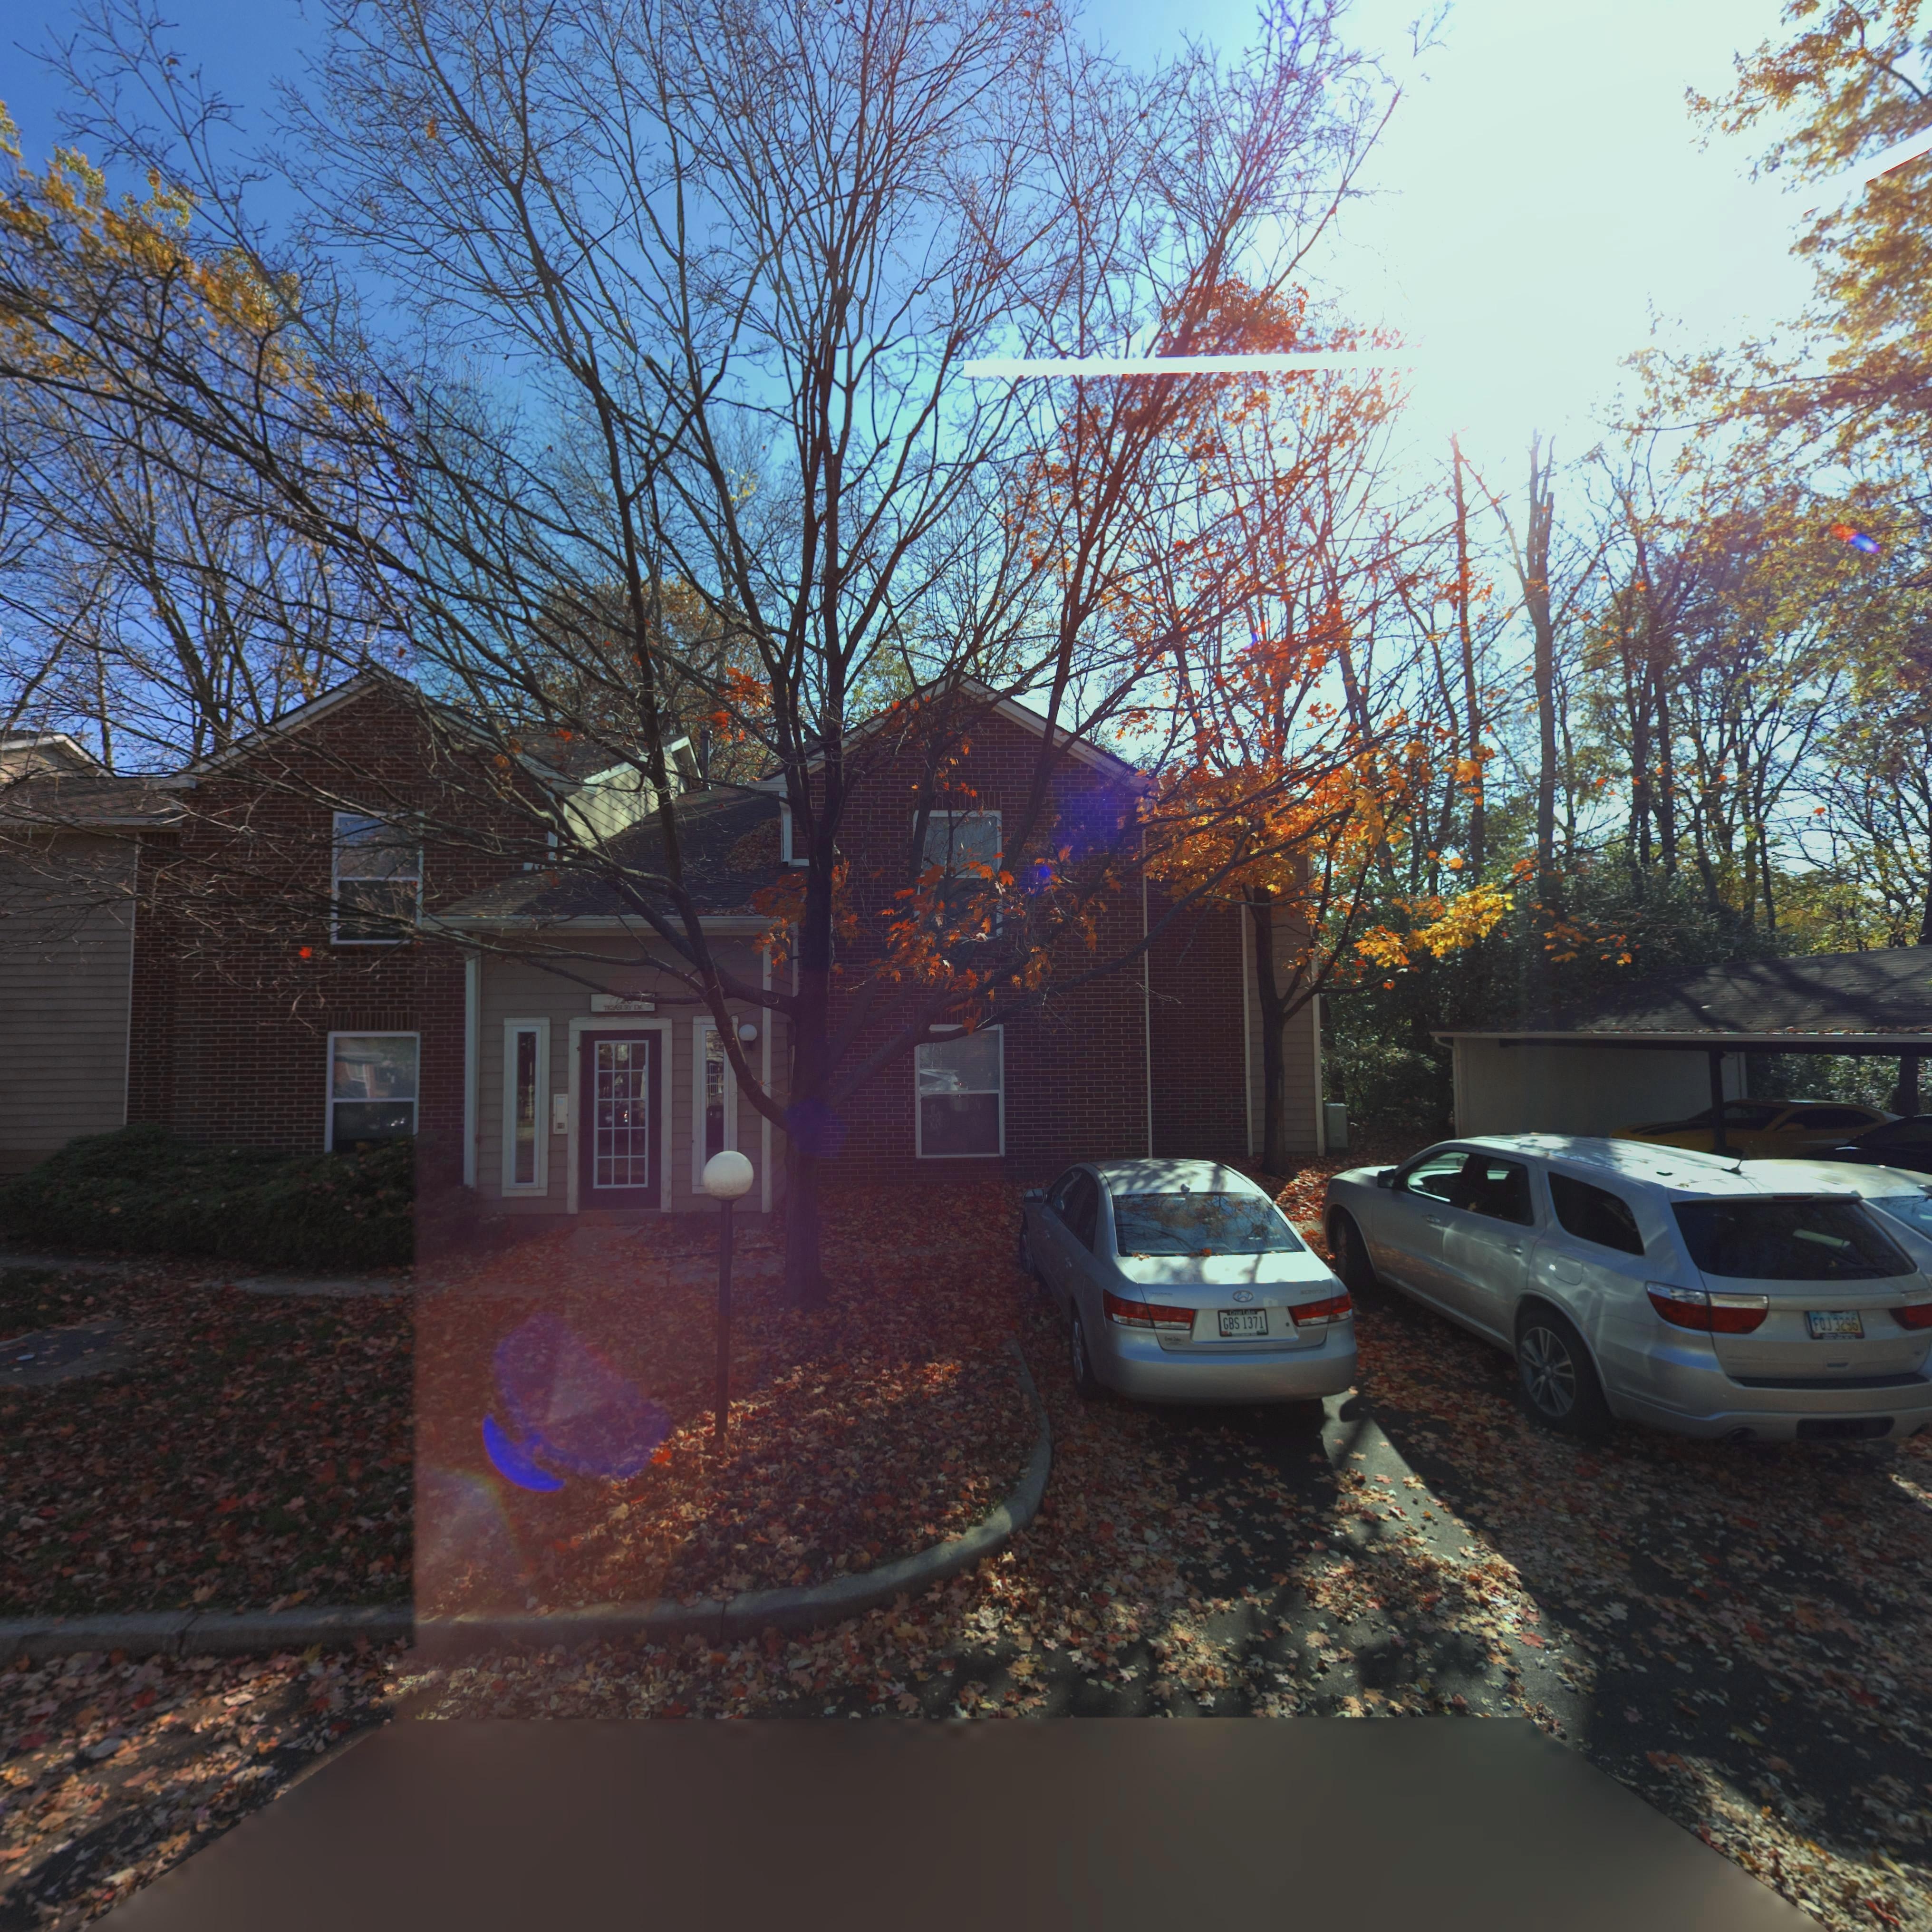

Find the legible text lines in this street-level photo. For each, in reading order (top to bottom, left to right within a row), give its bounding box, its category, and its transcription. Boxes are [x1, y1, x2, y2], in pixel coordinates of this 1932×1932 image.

[602, 1003, 645, 1012] StreetName: T***SURY DR
[1222, 1315, 1265, 1331] None: GBS 1371
[1812, 1315, 1860, 1333] None: FQJ 3296